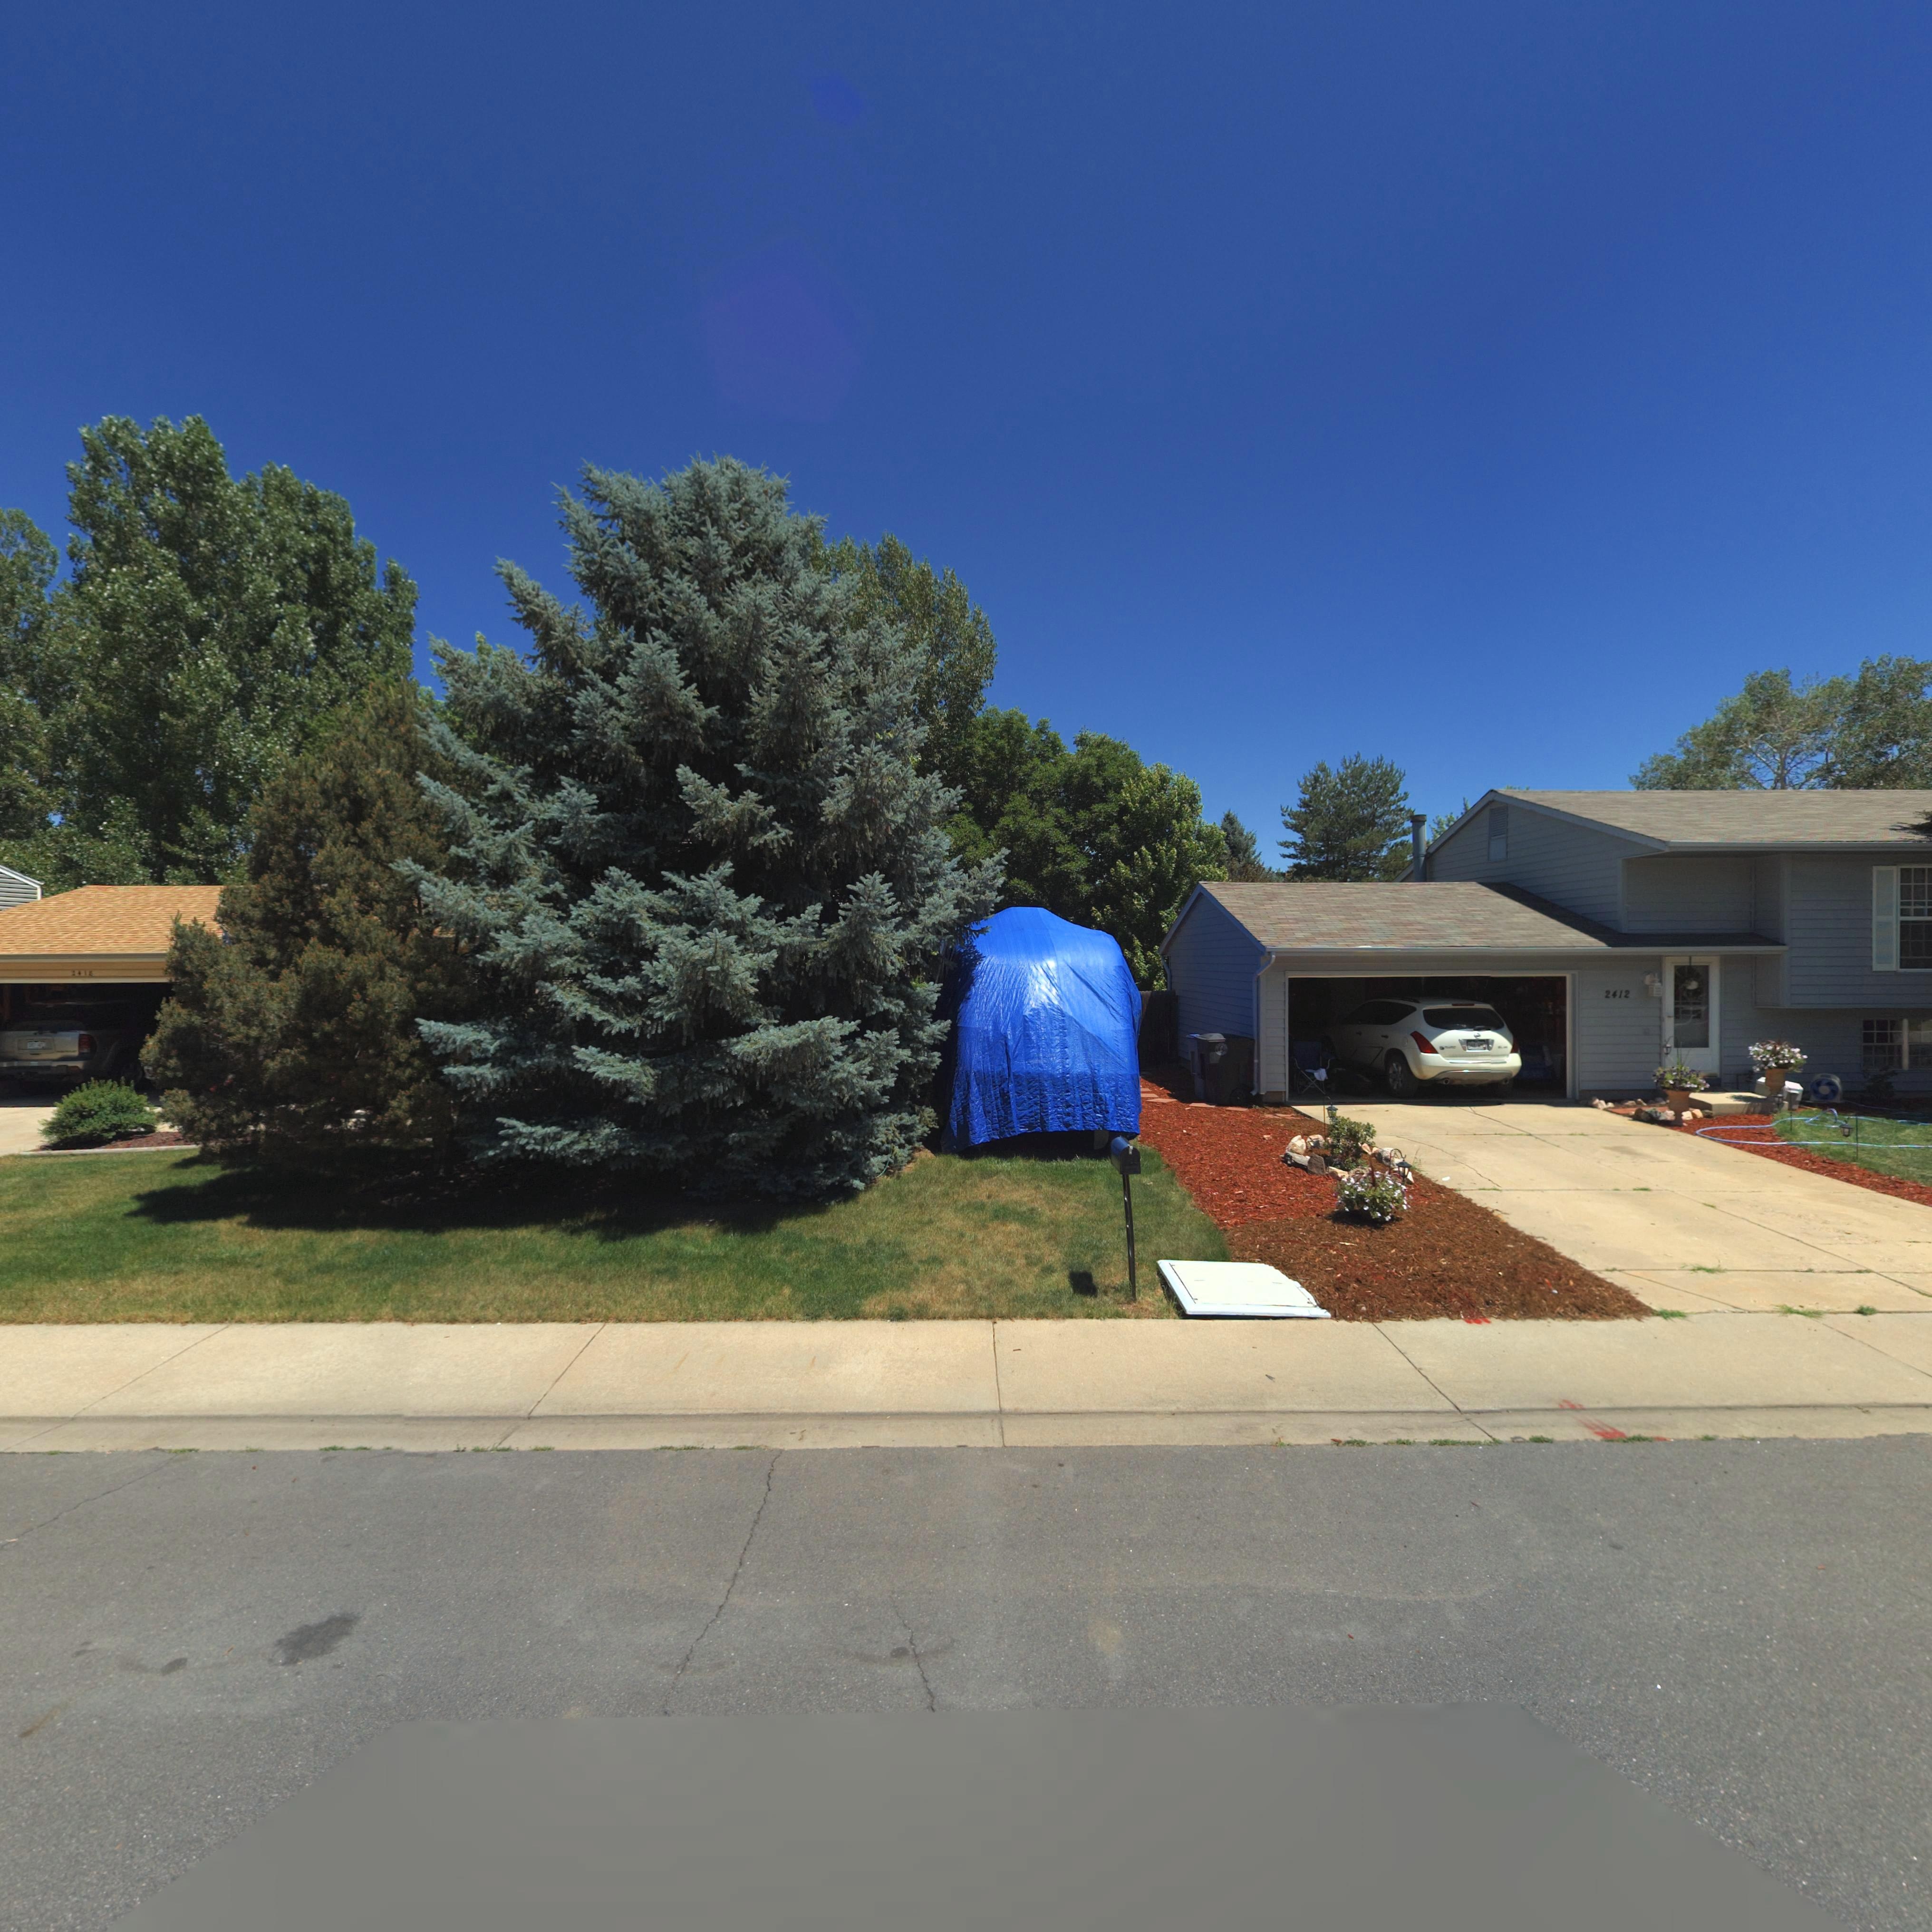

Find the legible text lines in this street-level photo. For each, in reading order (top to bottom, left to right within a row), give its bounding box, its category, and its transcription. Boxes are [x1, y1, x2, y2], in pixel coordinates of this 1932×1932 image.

[70, 969, 94, 976] StreetNumber: 241*
[1604, 989, 1630, 999] StreetNumber: 2412